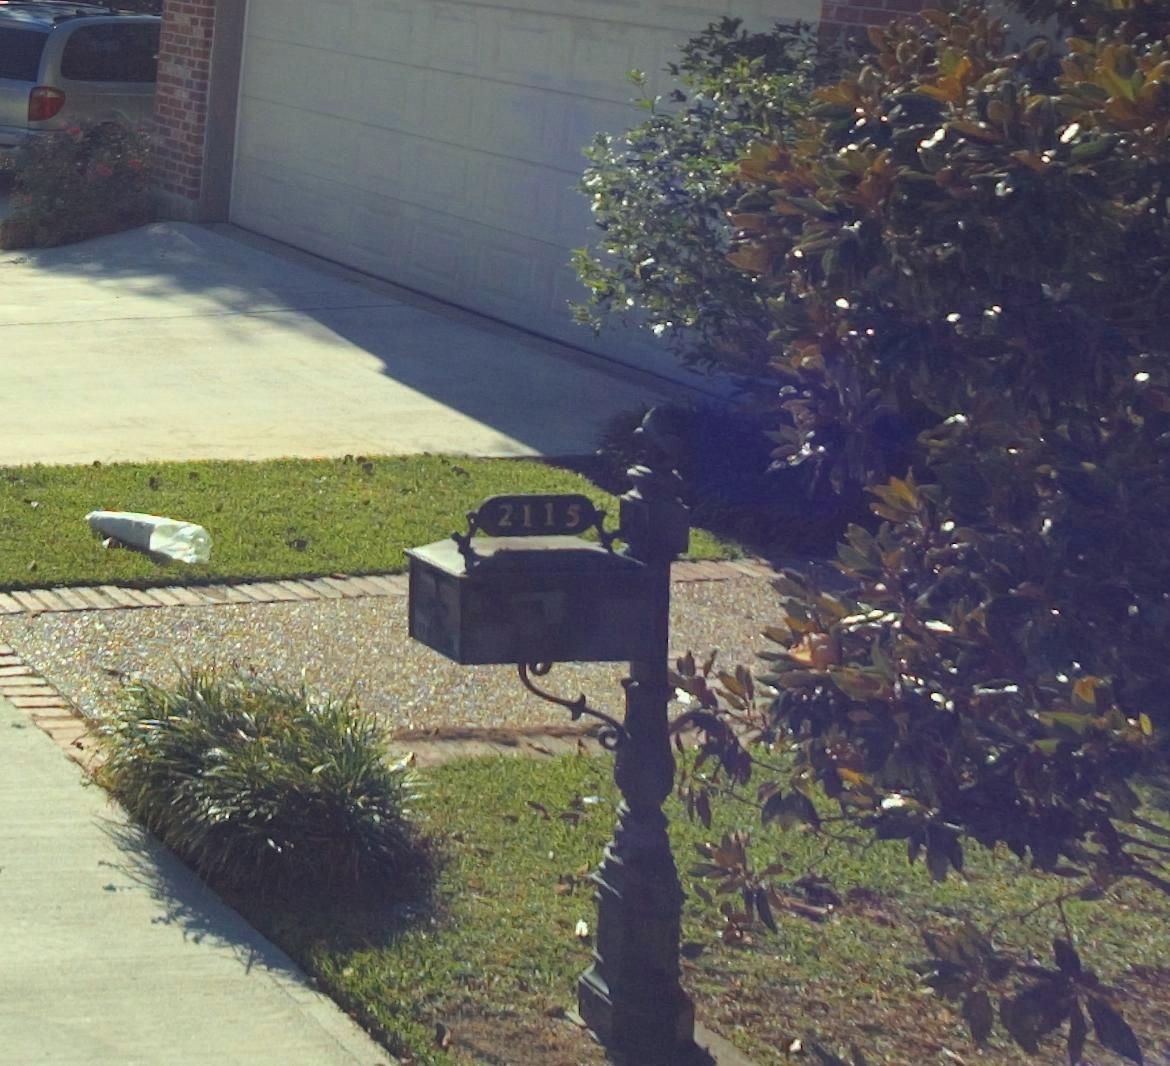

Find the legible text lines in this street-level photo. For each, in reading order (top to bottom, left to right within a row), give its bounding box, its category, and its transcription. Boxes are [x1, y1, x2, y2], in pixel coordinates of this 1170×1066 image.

[495, 498, 585, 531] StreetNumber: 2115